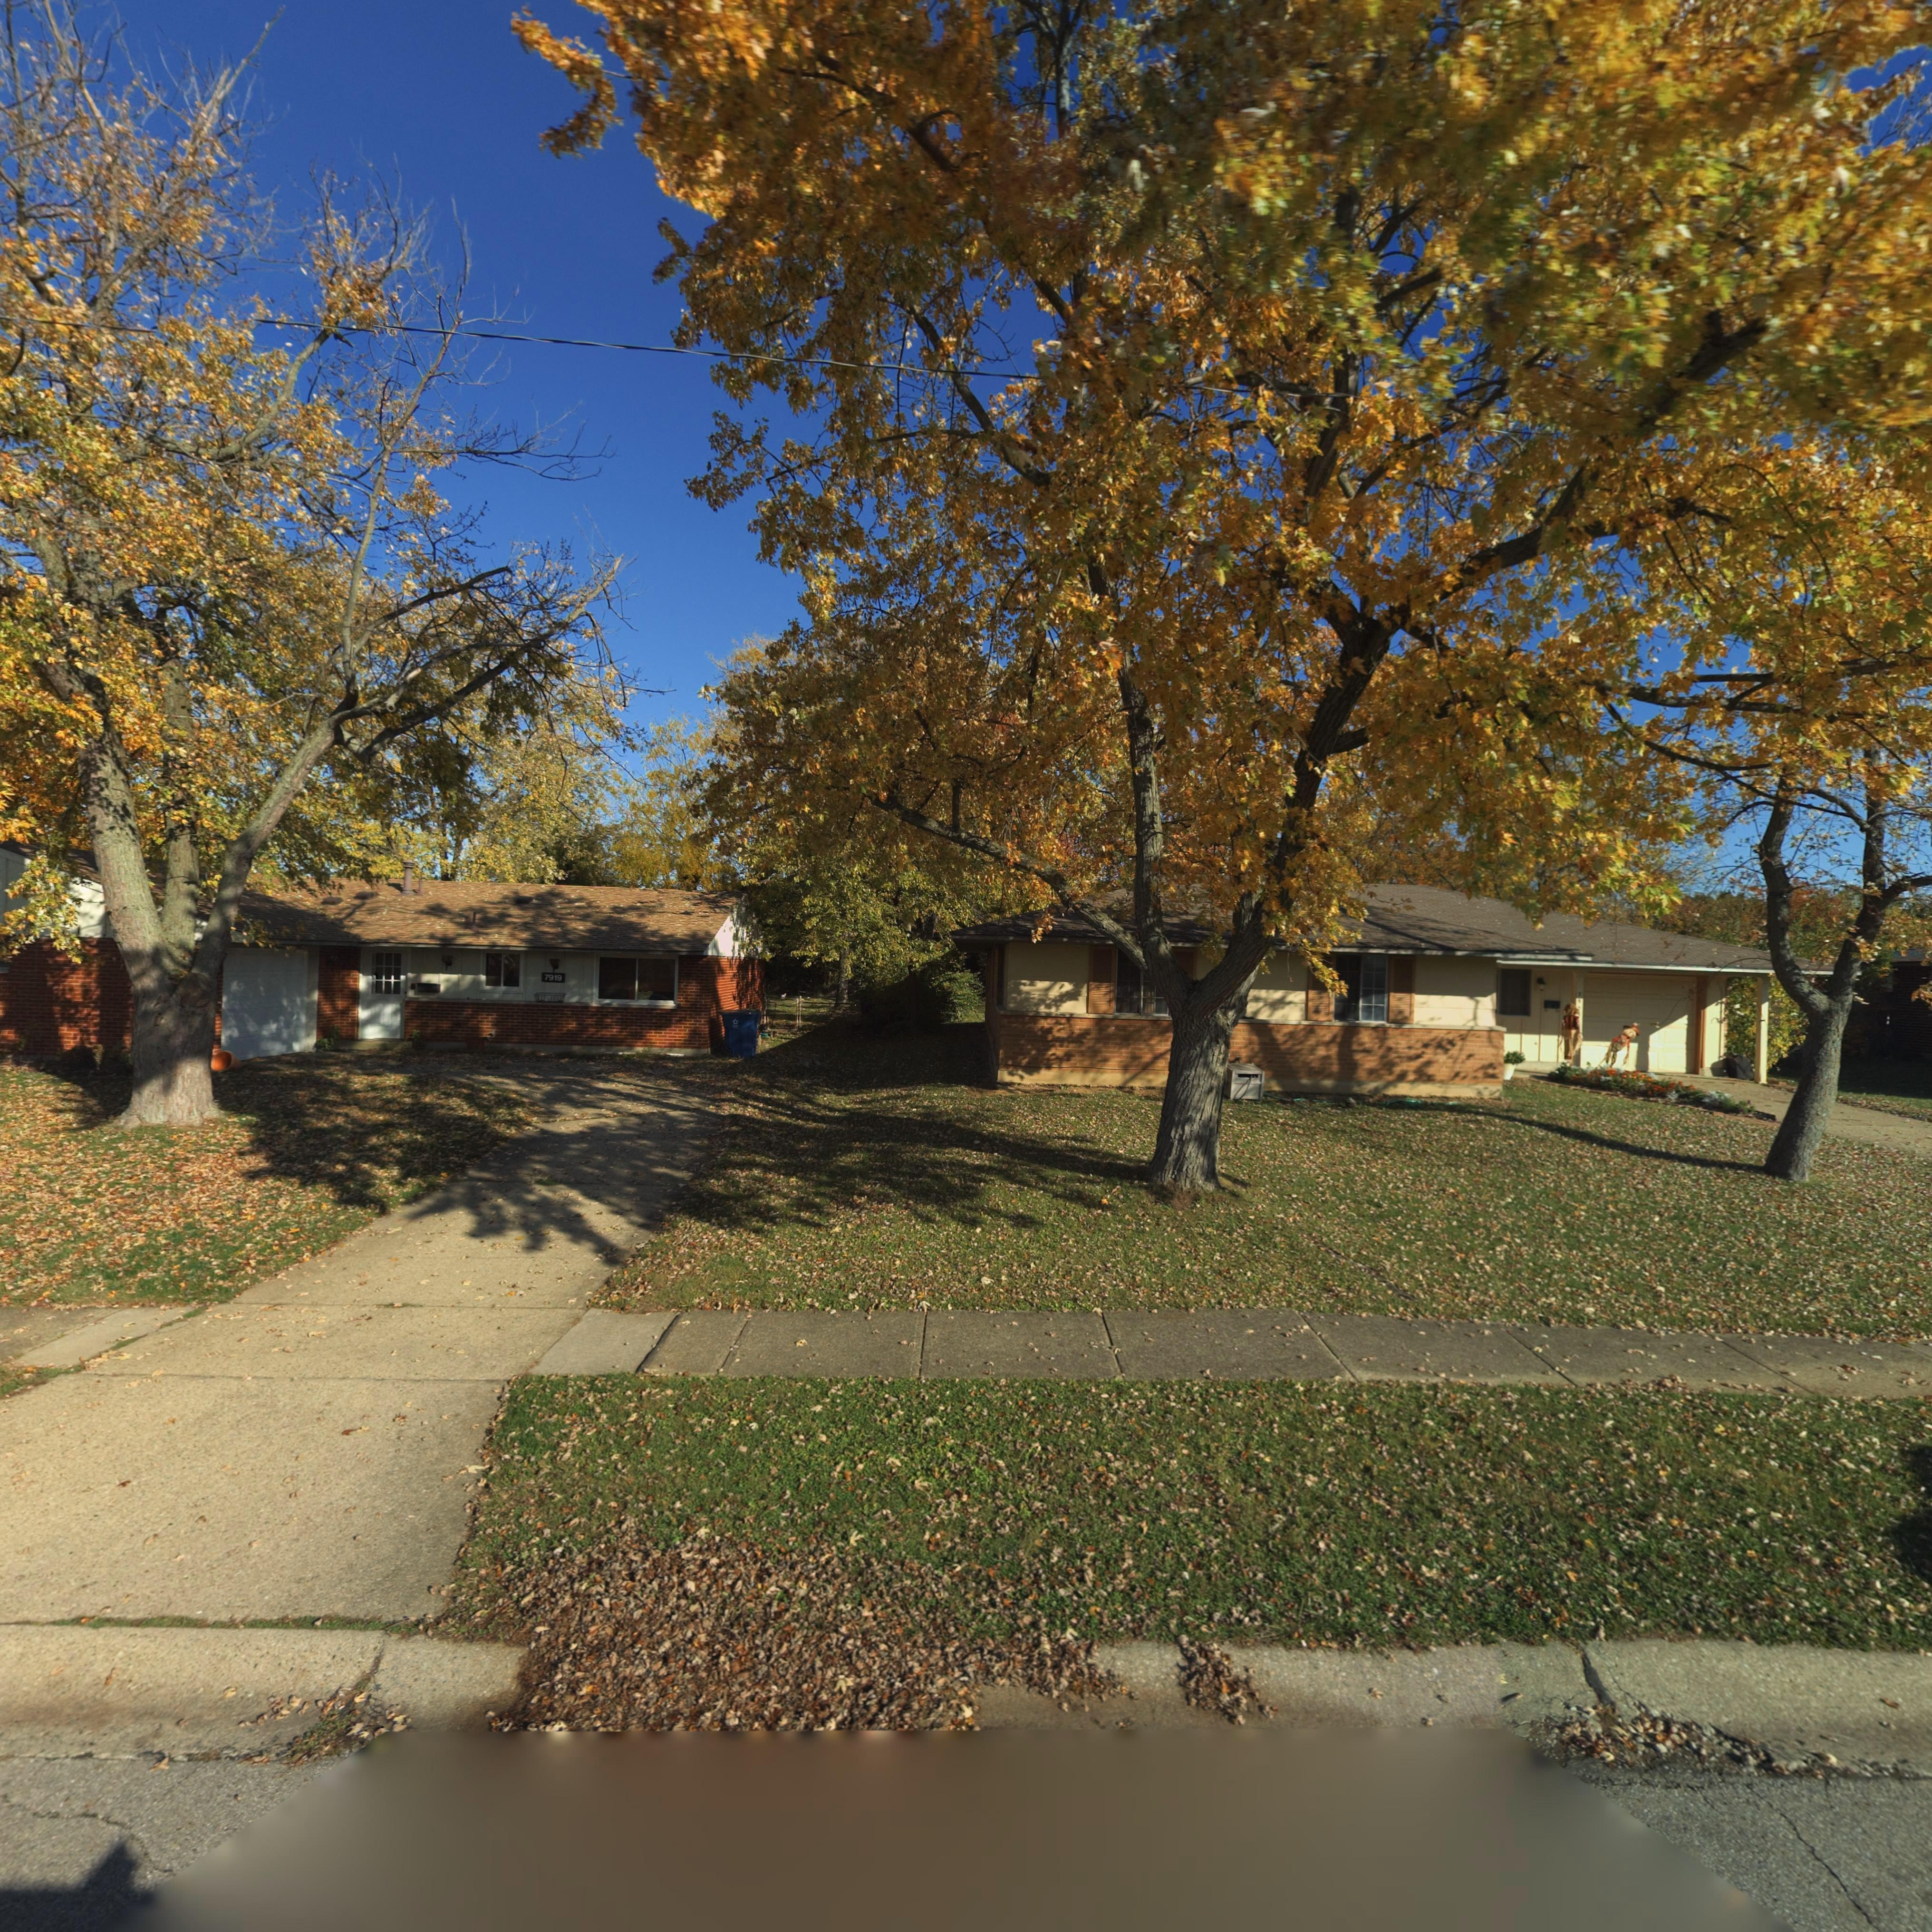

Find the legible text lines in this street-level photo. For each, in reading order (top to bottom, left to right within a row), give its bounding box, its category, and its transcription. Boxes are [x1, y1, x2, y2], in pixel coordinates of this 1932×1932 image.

[543, 973, 563, 982] StreetNumber: 7919